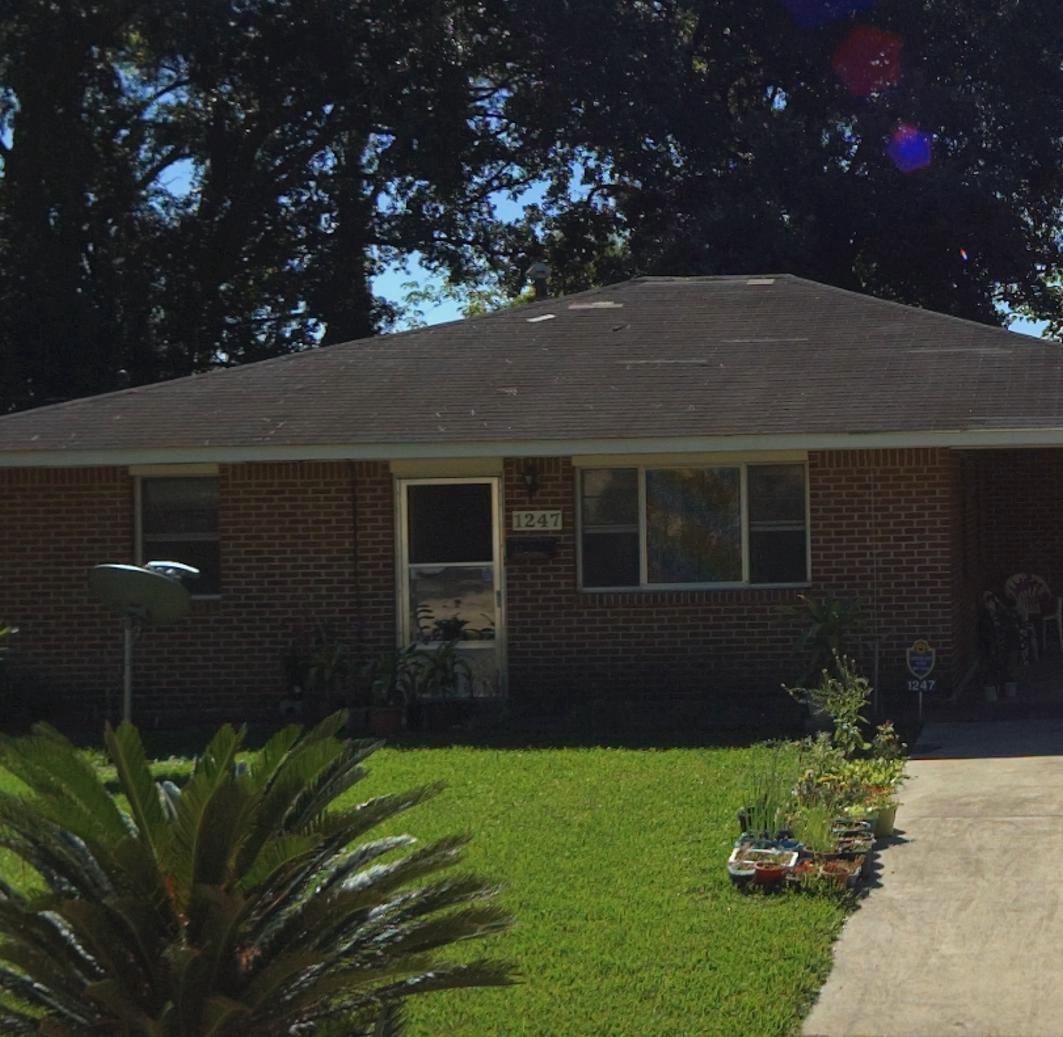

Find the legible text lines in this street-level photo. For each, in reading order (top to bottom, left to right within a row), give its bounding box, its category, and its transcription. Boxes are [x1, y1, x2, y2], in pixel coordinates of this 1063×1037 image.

[513, 512, 561, 529] StreetNumber: 1247
[906, 679, 937, 691] StreetNumber: 1247